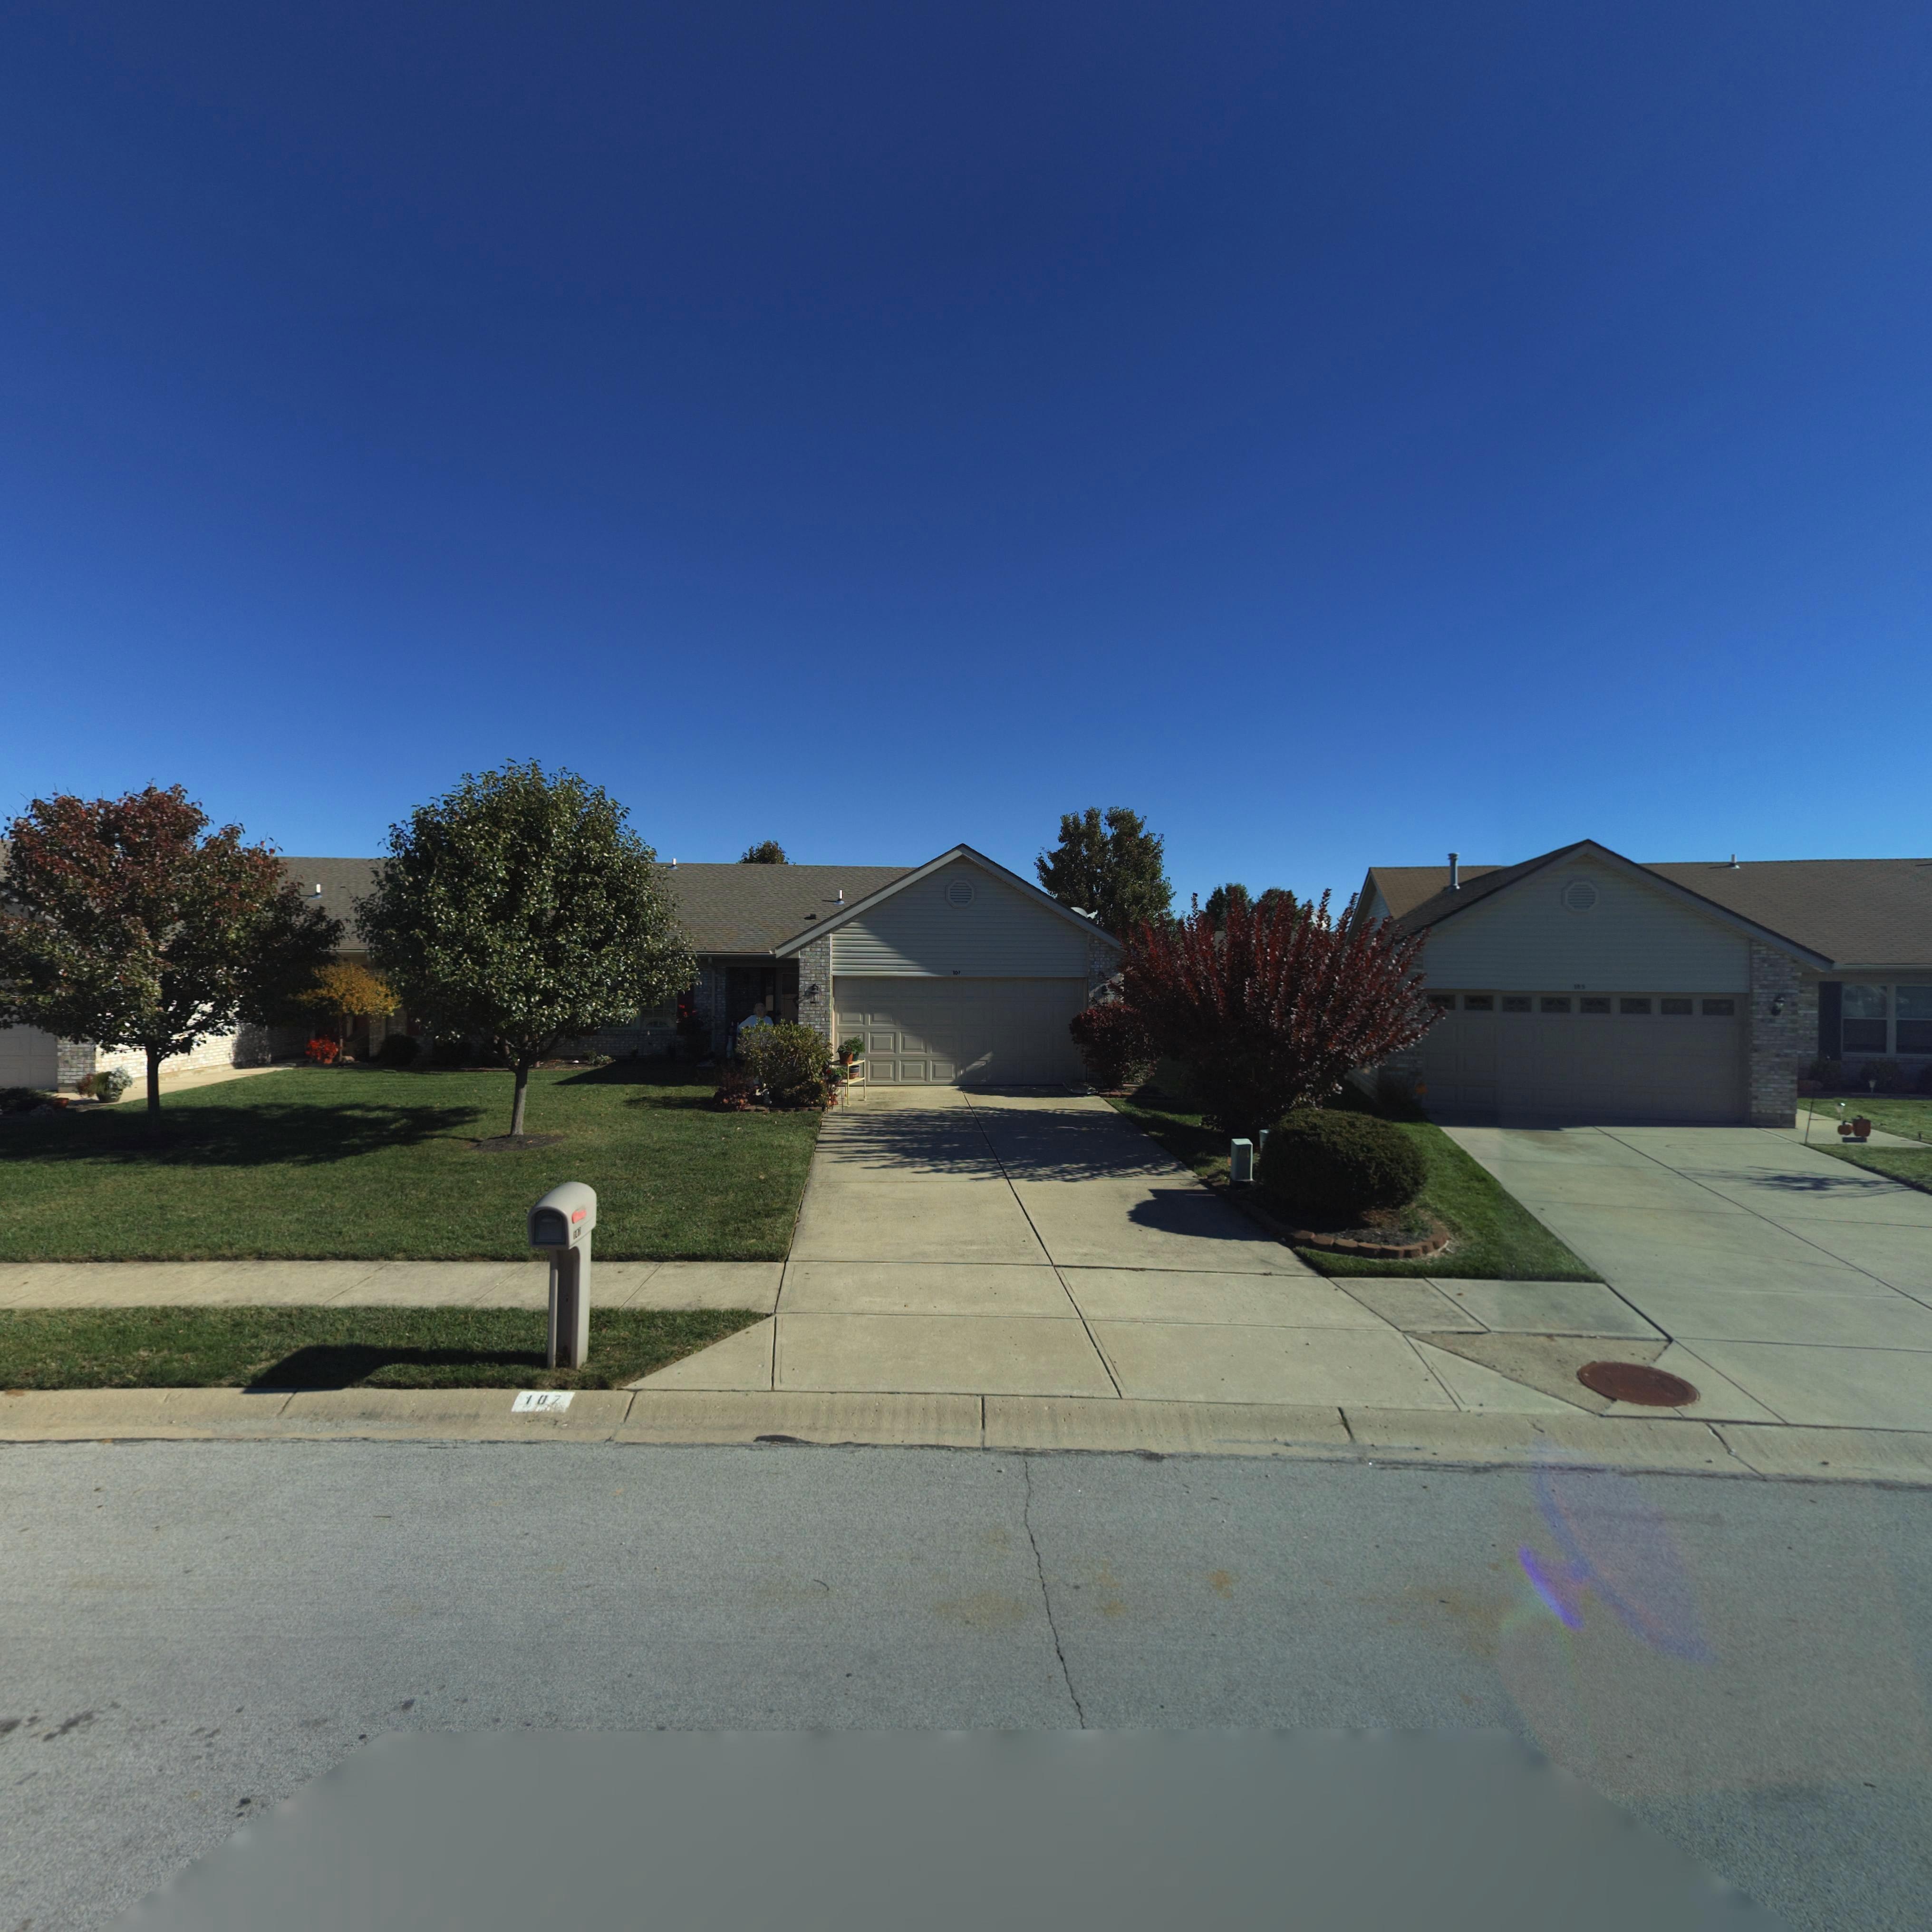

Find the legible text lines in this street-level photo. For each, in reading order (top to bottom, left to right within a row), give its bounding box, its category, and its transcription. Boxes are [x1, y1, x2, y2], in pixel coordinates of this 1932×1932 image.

[952, 970, 961, 976] StreetNumber: 107
[1573, 983, 1586, 990] StreetNumber: 105
[573, 1227, 581, 1240] StreetNumber: 107
[524, 1394, 563, 1406] StreetNumber: 107